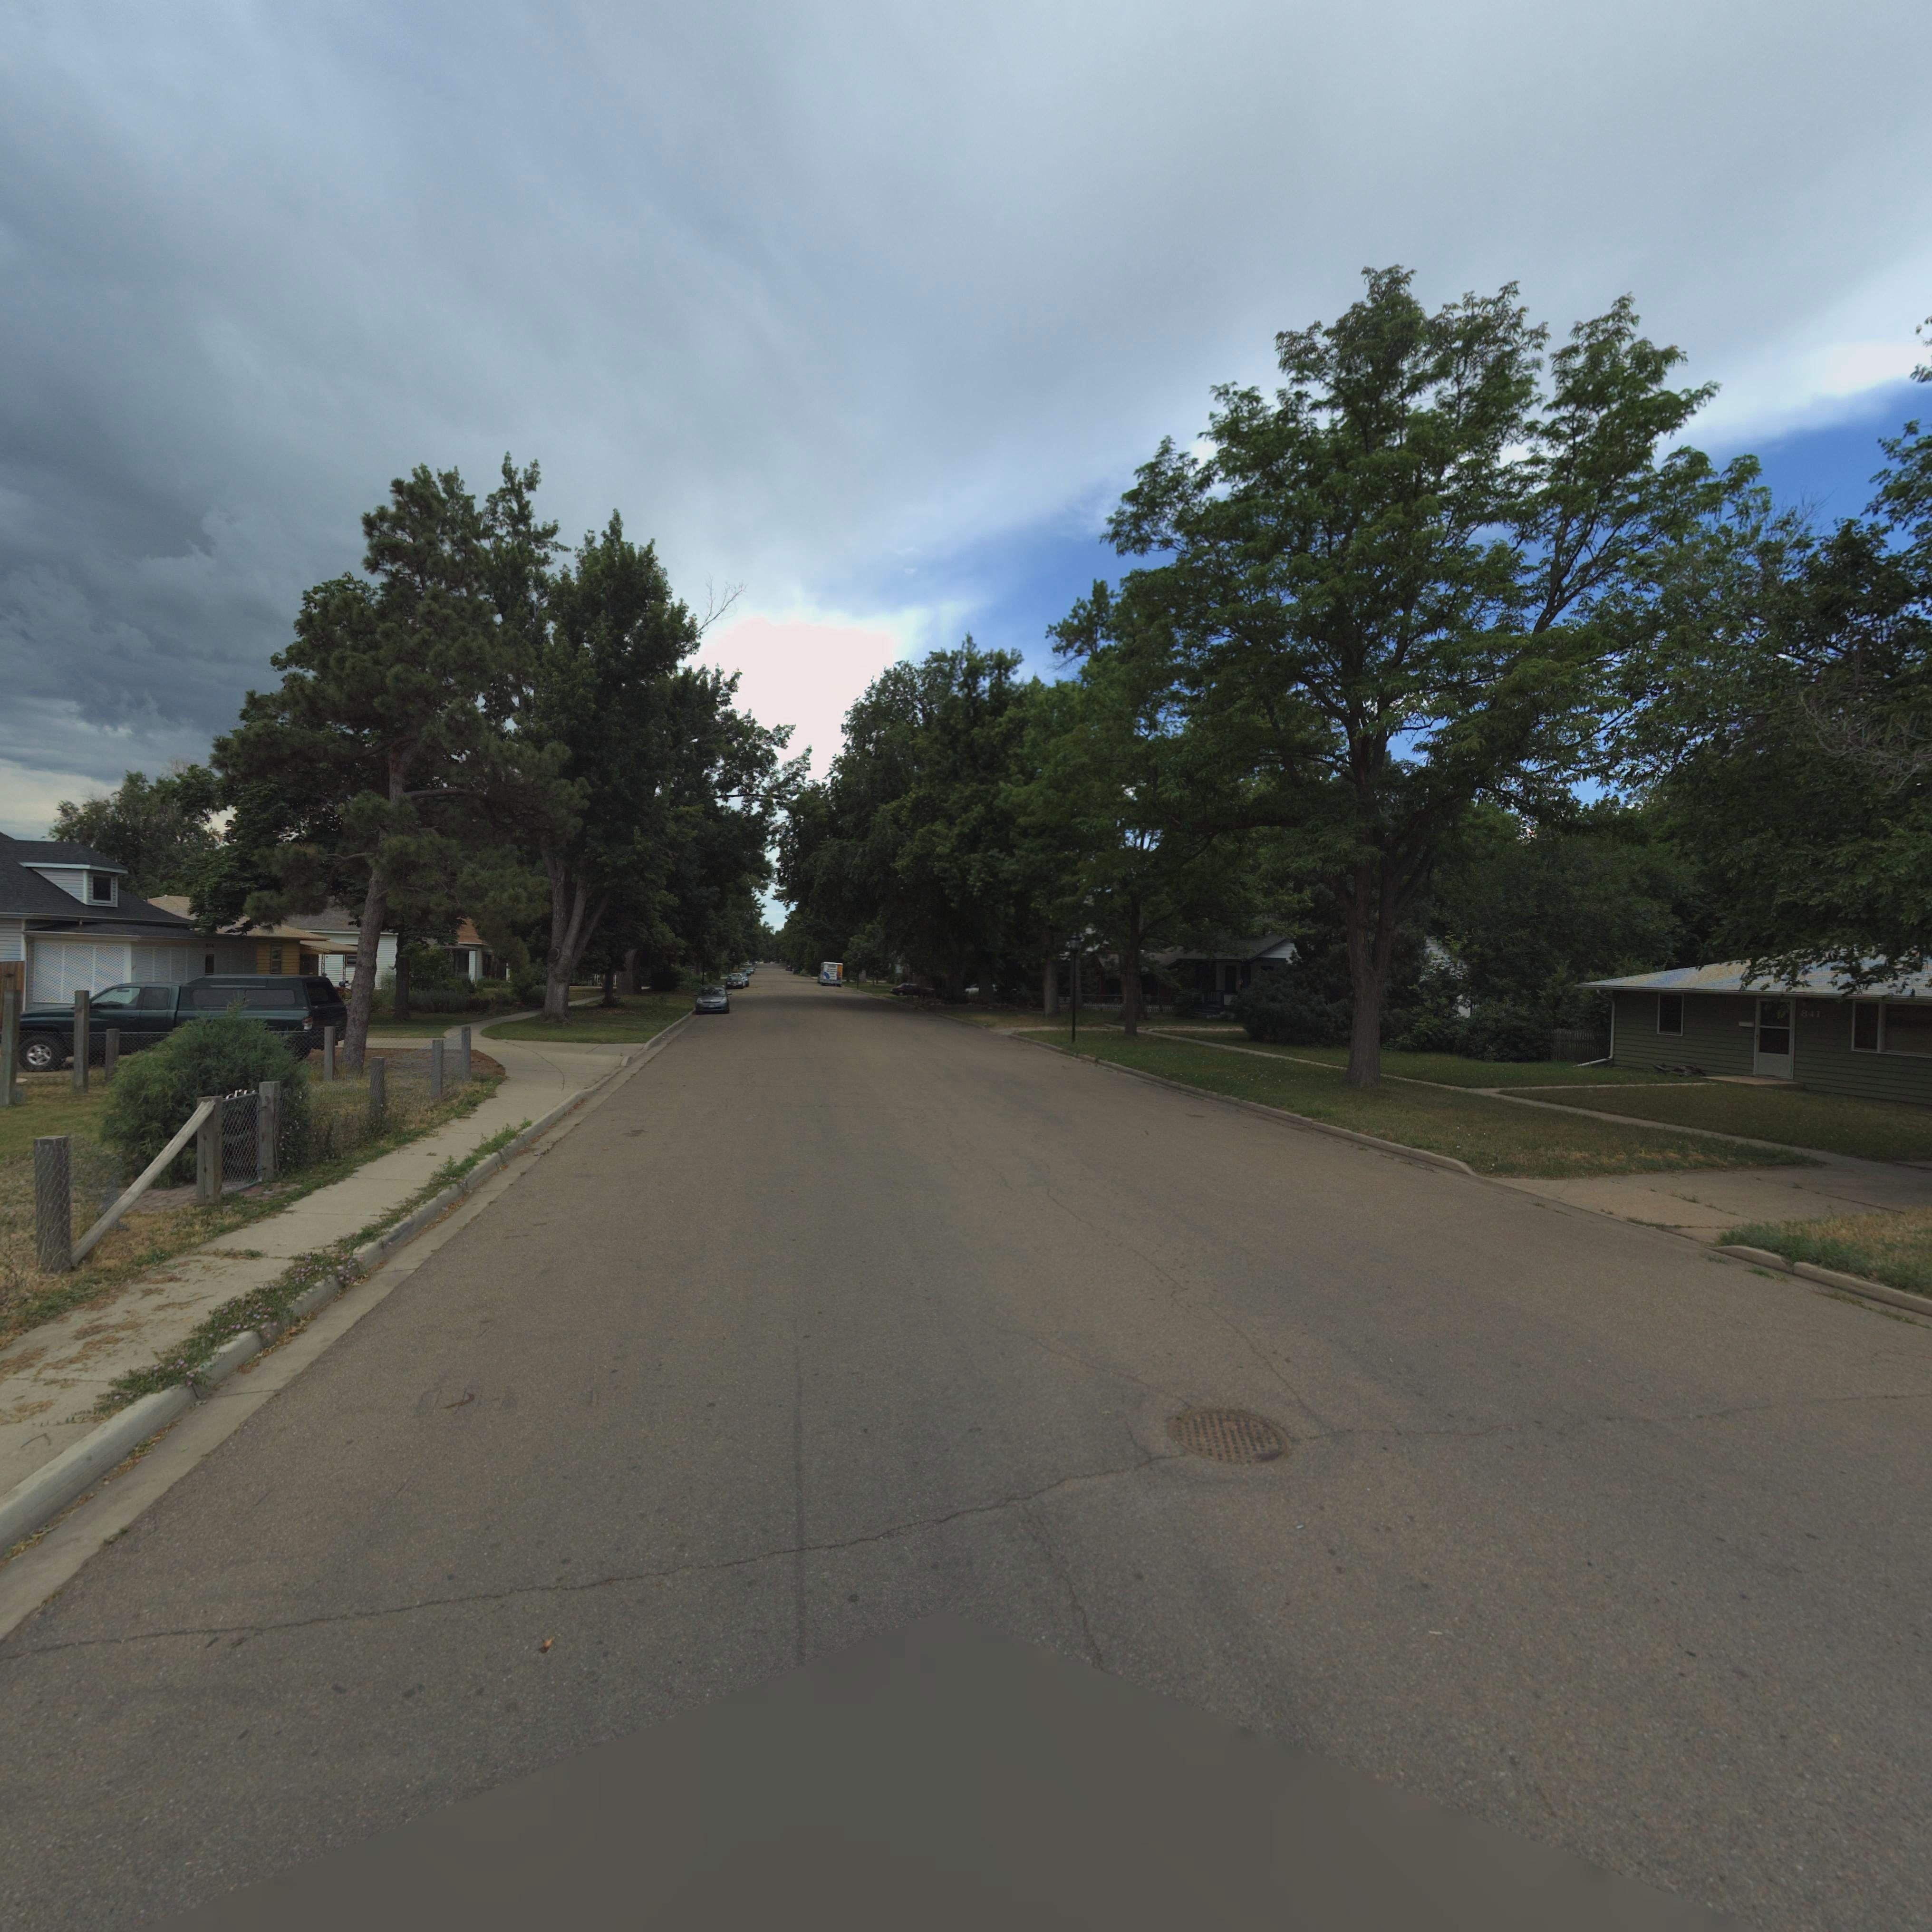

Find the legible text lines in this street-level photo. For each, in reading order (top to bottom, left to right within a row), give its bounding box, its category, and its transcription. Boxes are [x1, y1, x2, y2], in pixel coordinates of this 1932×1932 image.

[1800, 1009, 1820, 1018] StreetNumber: 841